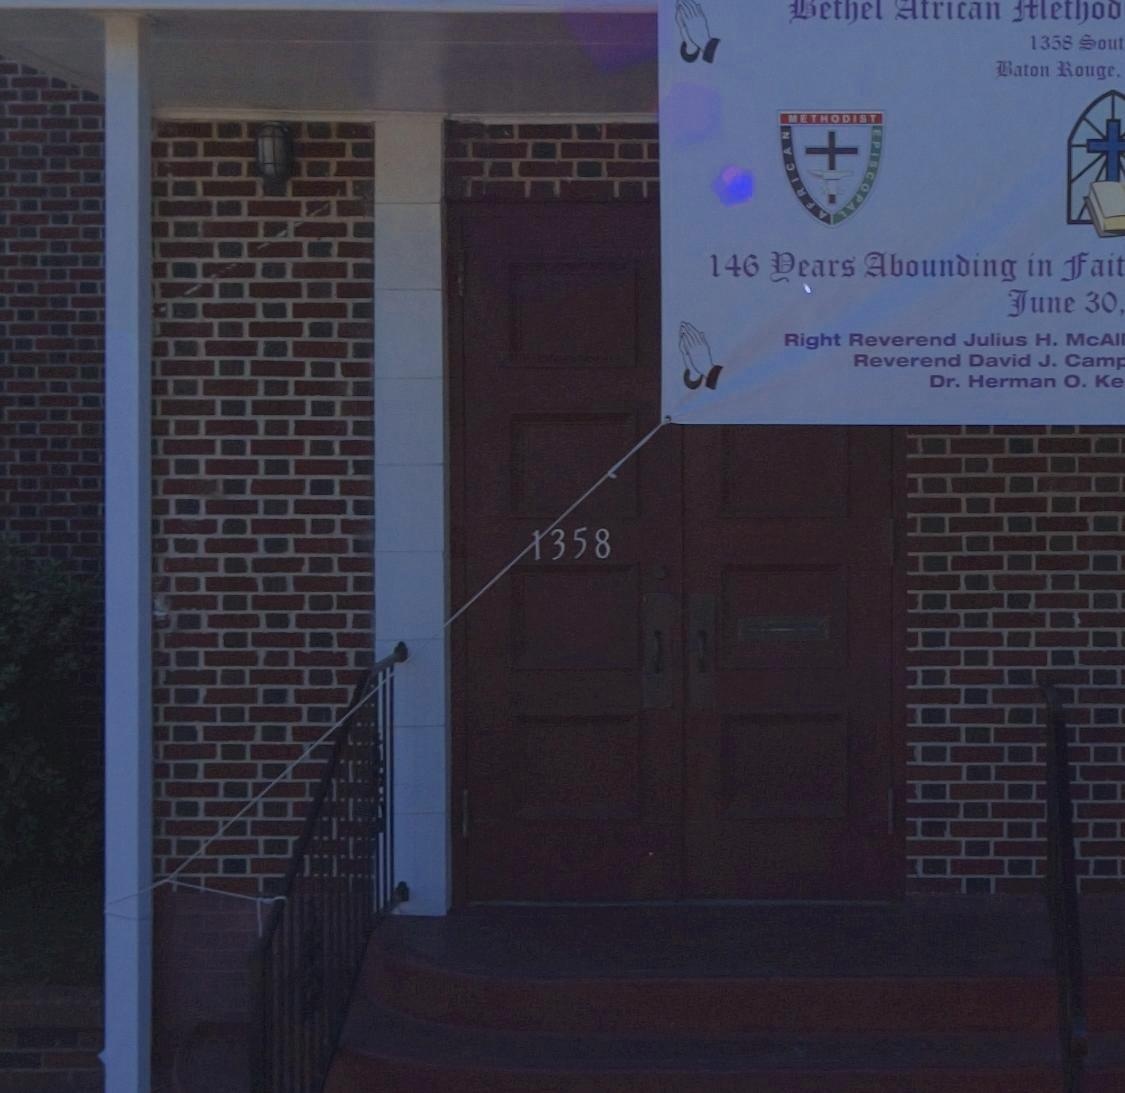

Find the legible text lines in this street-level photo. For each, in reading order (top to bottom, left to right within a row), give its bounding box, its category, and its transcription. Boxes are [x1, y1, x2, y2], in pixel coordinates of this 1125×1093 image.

[817, 0, 1108, 22] BusinessName: e**e* **r*can **e**o
[1027, 32, 1076, 54] StreetNumber: 1358
[1077, 31, 1125, 54] StreetName: Sout
[992, 56, 1119, 81] None: Baton Rouge
[786, 111, 879, 126] None: METHODIST
[778, 128, 831, 223] None: **RICAN
[834, 125, 885, 223] None: *PI*CO***
[705, 248, 1124, 285] None: 146 Dears Abounding in Fait
[1003, 284, 1121, 322] None: June 30
[782, 327, 1121, 353] None: Right Reverend Julius H. McAl
[851, 351, 1118, 372] None: Reverend David J. Cam
[925, 370, 1125, 392] None: Dr. Herman O. Ke
[529, 524, 613, 563] StreetNumber: 1358